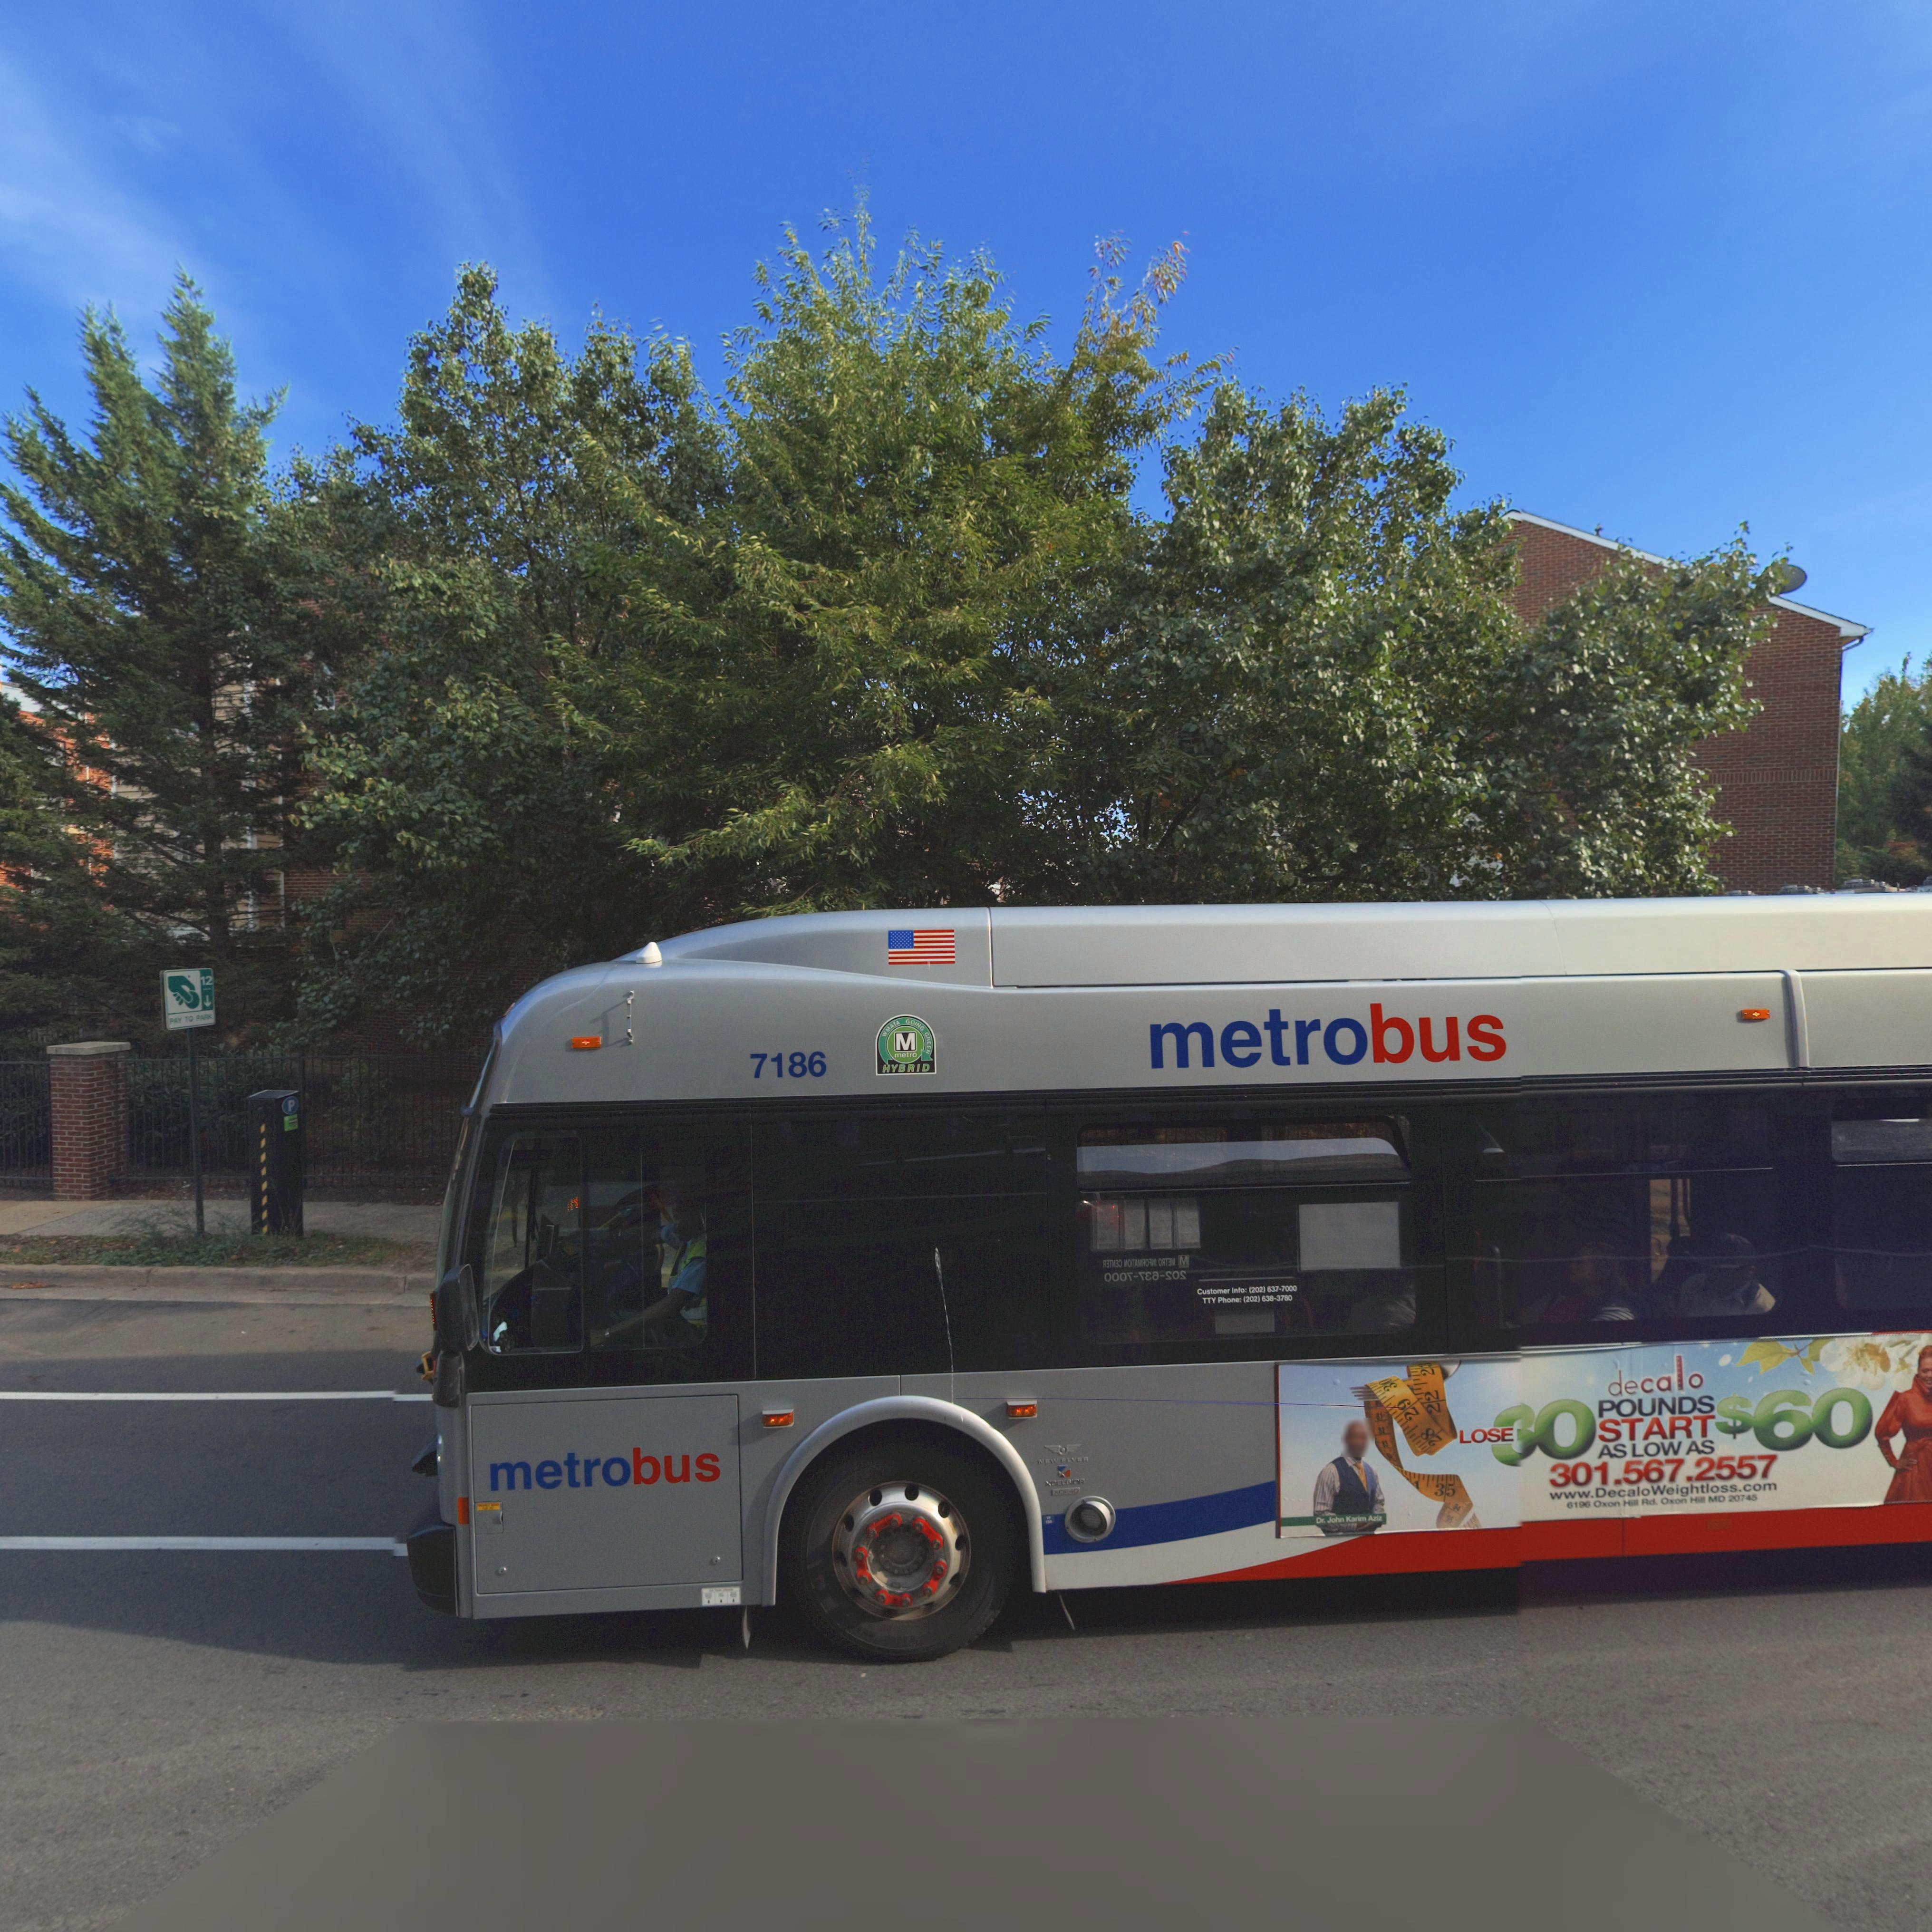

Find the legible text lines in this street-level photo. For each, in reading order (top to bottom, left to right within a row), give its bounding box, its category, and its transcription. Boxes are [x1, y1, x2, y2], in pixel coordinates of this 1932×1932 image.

[199, 974, 214, 986] None: 12
[168, 1012, 214, 1026] None: PAY TO PARK
[894, 1031, 918, 1053] None: M
[880, 1017, 933, 1056] None: WMATA GOING GREEN
[1146, 999, 1511, 1073] None: metrobus
[893, 1051, 919, 1059] None: METRO
[747, 1049, 831, 1082] None: 7186
[880, 1062, 931, 1073] None: HYBRID
[287, 1098, 297, 1113] None: P
[1101, 1256, 1177, 1269] None: **T*** *OITAM*O**I
[1178, 1254, 1190, 1266] None: M
[1101, 1268, 1188, 1284] None: 000*-***-*0*
[1196, 1284, 1299, 1296] None: Customer Info: (202) 637-7000
[1200, 1293, 1294, 1305] None: TTY Phone: (202) 638-3780
[1416, 1361, 1438, 1378] None: 23
[1605, 1352, 1708, 1398] None: decalo
[1377, 1377, 1400, 1393] None: 0*
[1423, 1388, 1443, 1415] None: 22
[1596, 1393, 1717, 1421] None: POUNDS
[1374, 1411, 1384, 1422] None: 81
[1751, 1384, 1874, 1454] None: 60
[1376, 1425, 1387, 1436] None: 82
[1380, 1439, 1390, 1449] None: 83
[1419, 1426, 1443, 1448] None: 8*
[1458, 1426, 1516, 1445] None: LOSE
[1532, 1396, 1599, 1462] None: O
[1596, 1413, 1717, 1445] None: START
[1596, 1438, 1718, 1461] None: AS LOW AS
[1037, 1455, 1090, 1465] None: NEW FLYER
[487, 1445, 724, 1496] None: metrobus
[1547, 1451, 1780, 1490] None: 301.567.2557
[1432, 1480, 1457, 1499] None: 35
[1547, 1481, 1779, 1502] None: www.DecaloWeightloss.com
[1565, 1492, 1760, 1511] None: 6196 Oxon Hill Rd. Oxon Hill MD 20745
[1314, 1513, 1384, 1526] None: Dr. John Karim Aziz